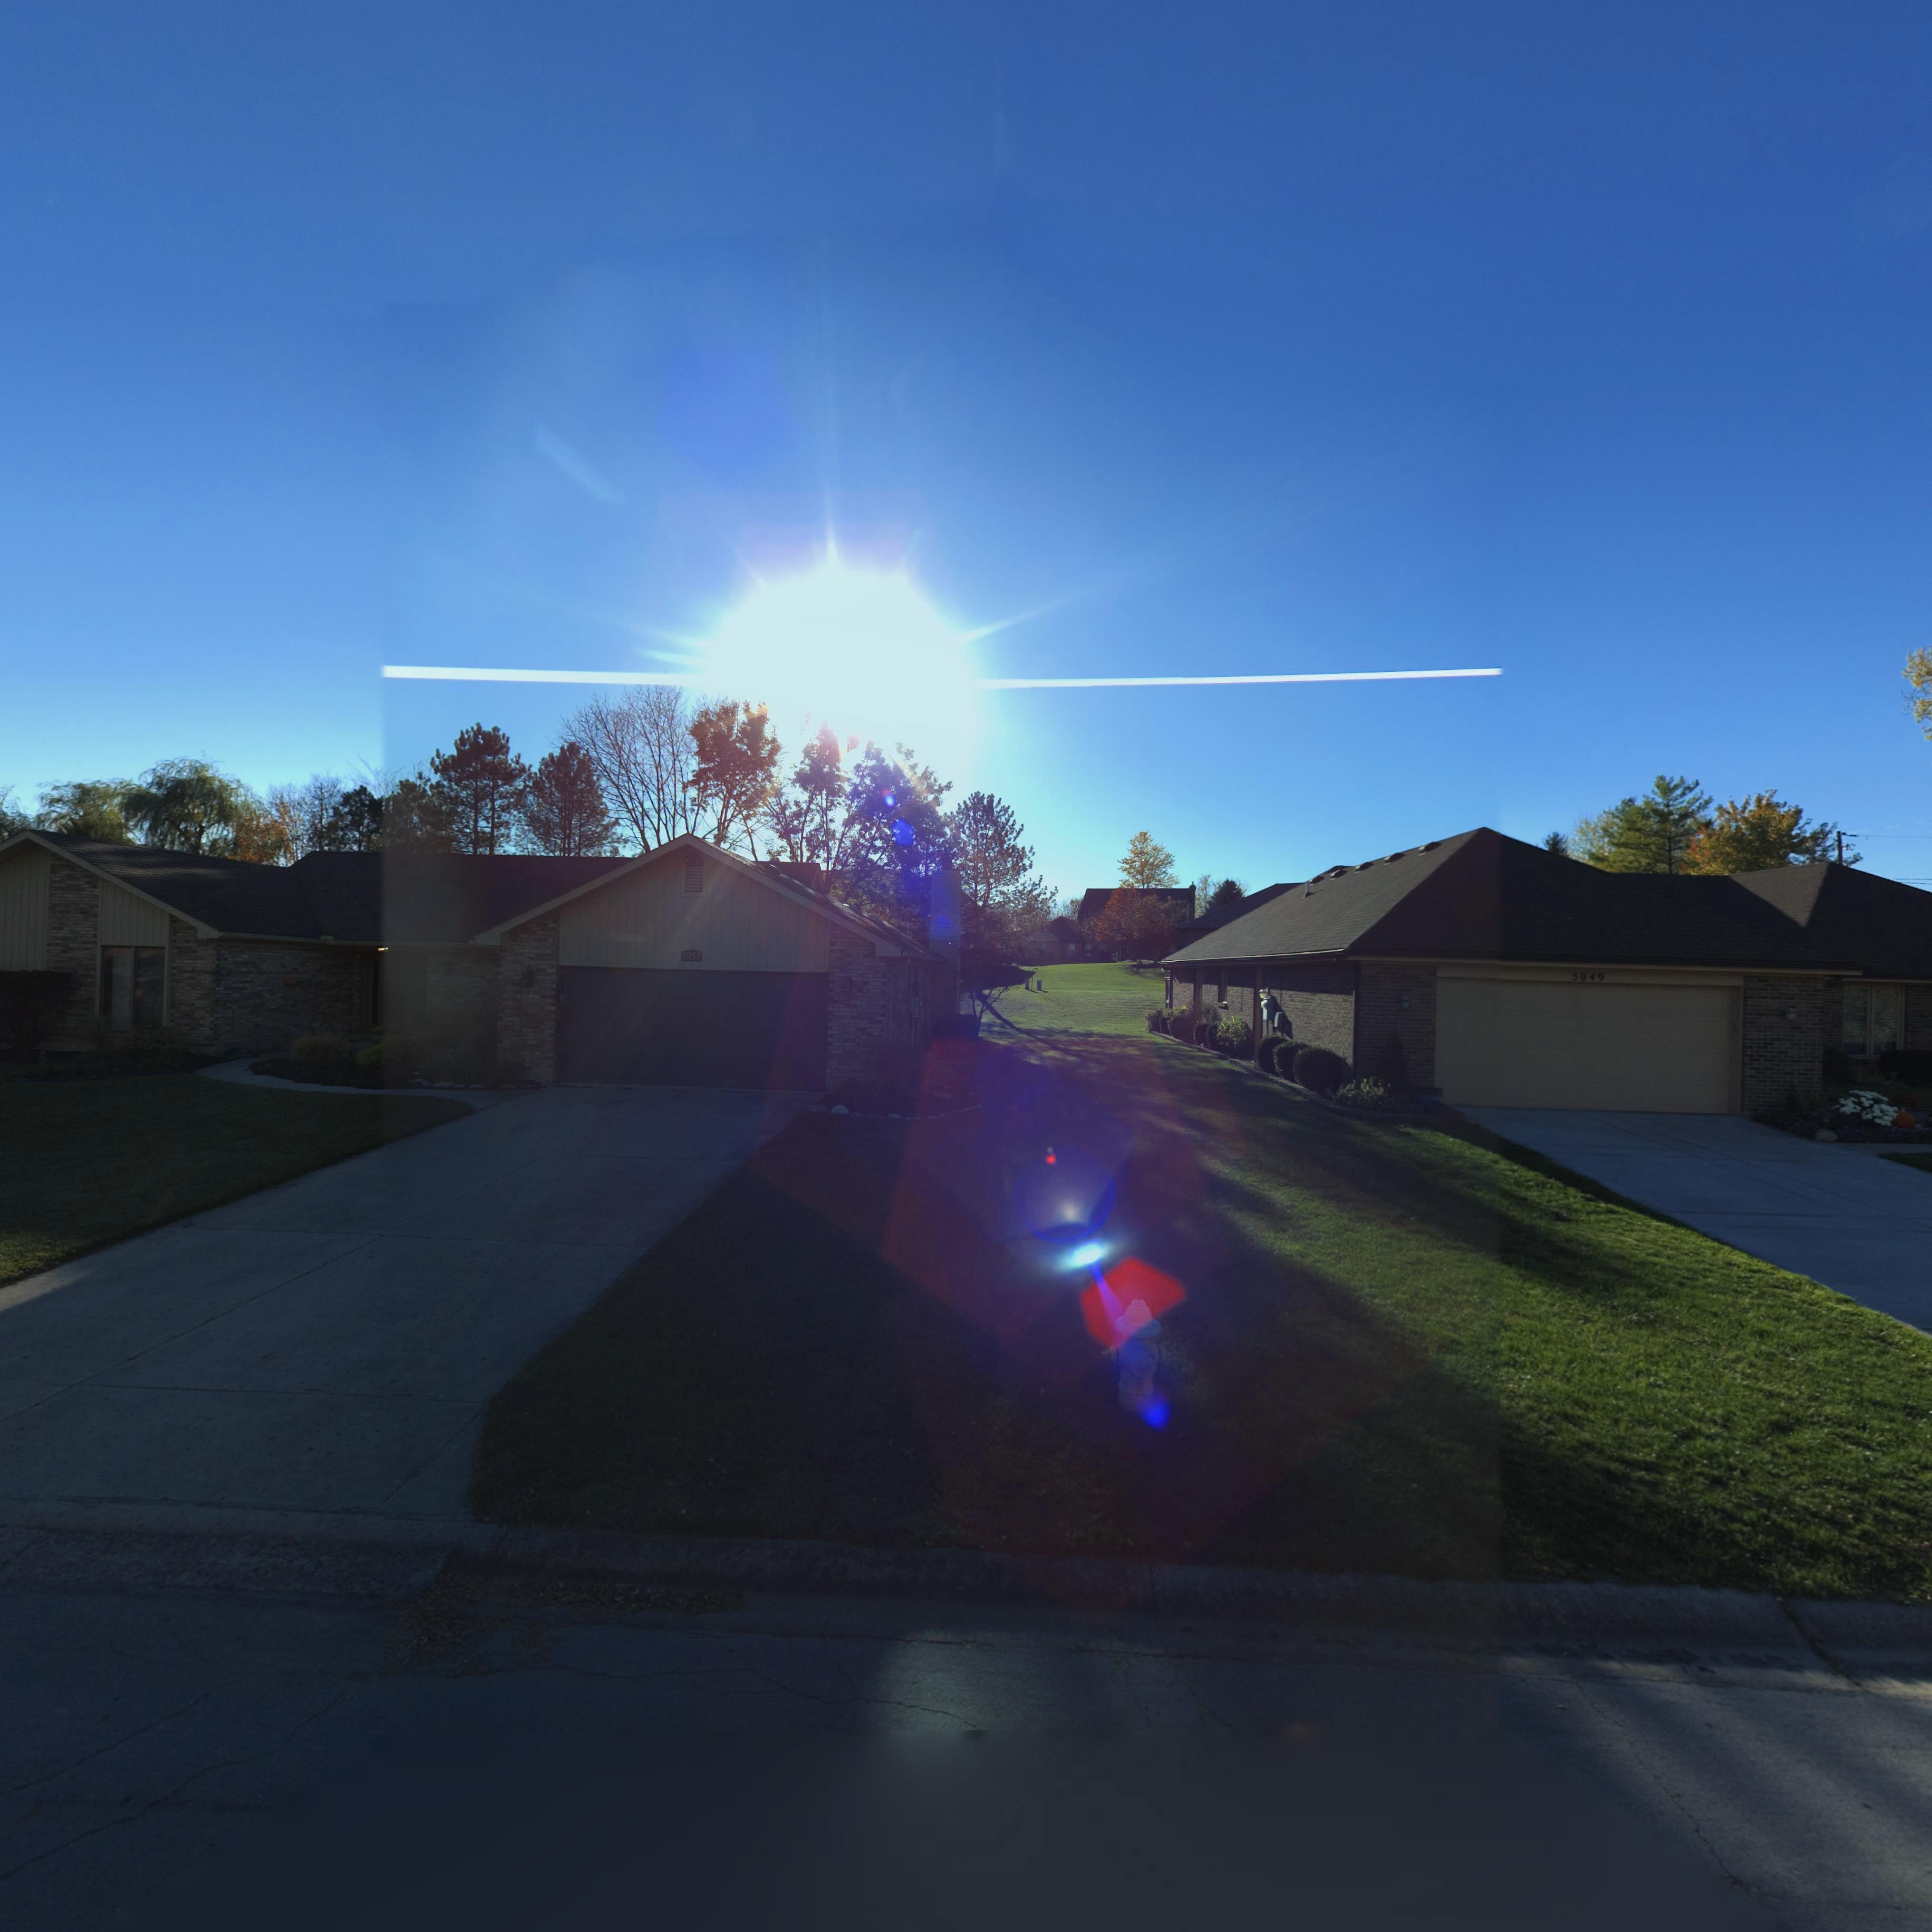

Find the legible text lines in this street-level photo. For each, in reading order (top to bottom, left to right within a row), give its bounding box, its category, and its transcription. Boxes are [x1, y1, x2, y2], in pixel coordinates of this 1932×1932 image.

[681, 951, 702, 962] StreetNumber: 5057
[1569, 971, 1605, 983] StreetNumber: 5049